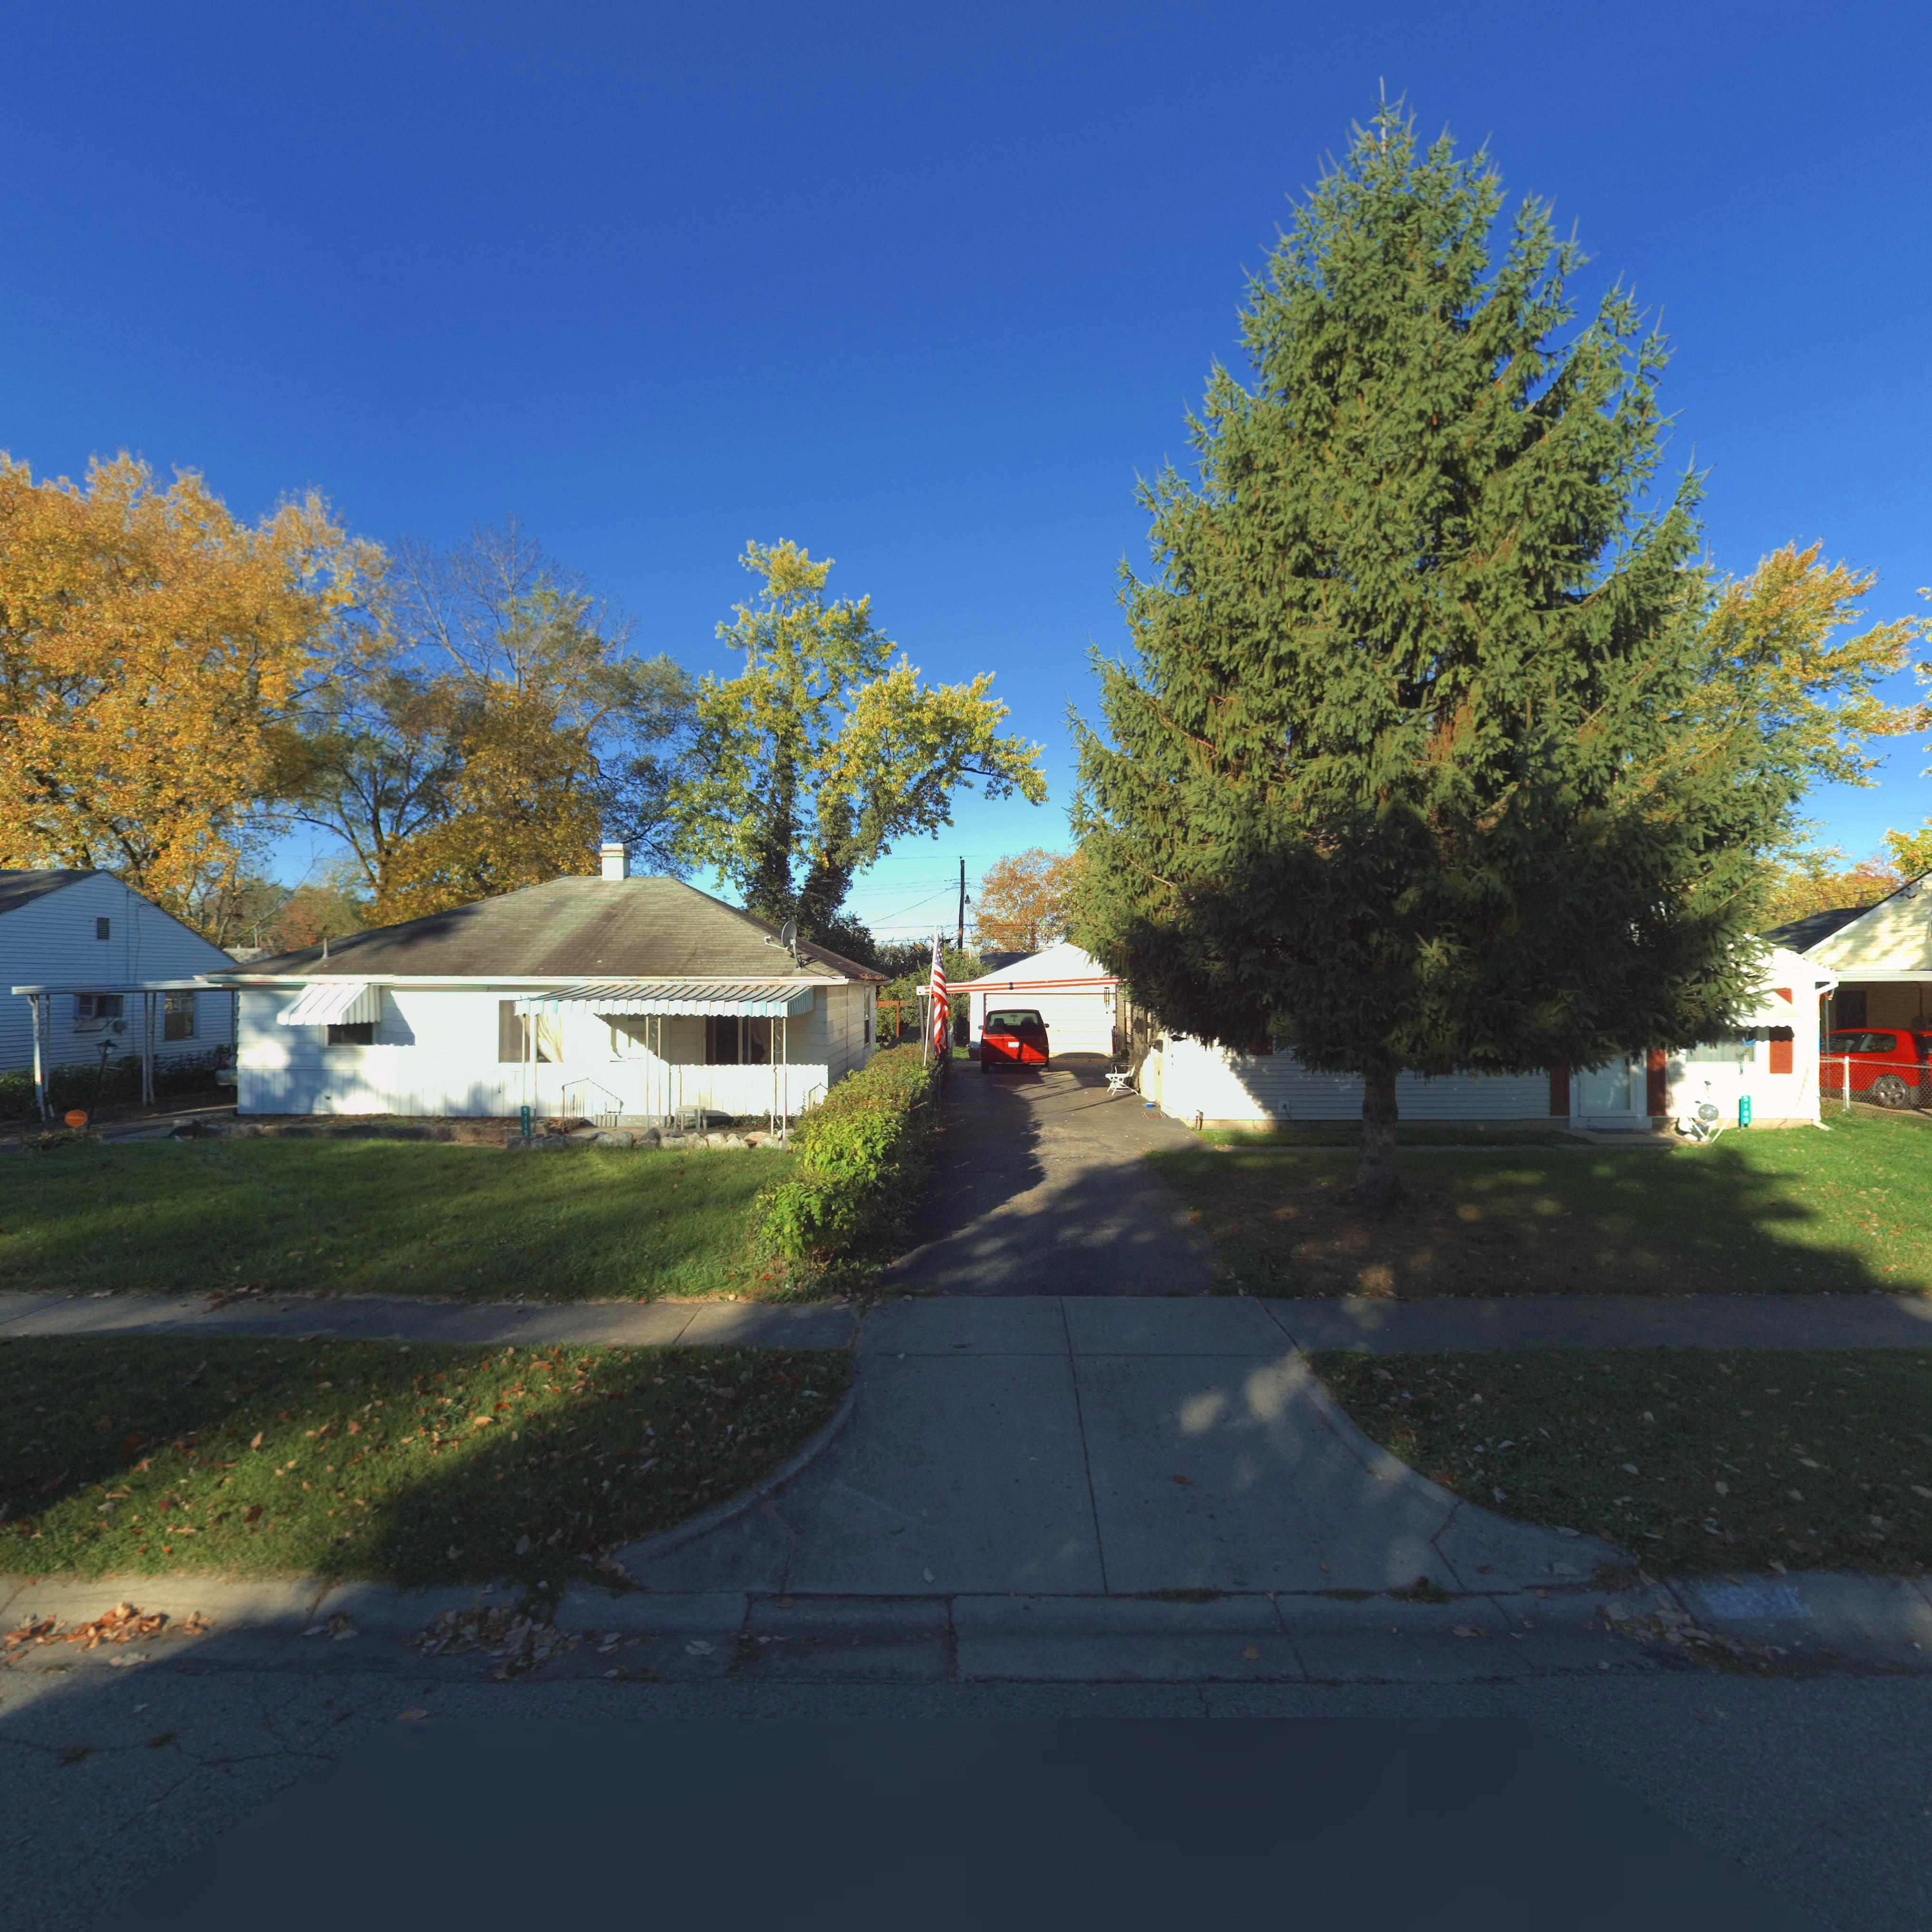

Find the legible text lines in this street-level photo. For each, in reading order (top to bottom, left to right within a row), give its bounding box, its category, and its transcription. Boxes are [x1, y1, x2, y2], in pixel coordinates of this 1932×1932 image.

[522, 1107, 529, 1137] StreetNumber: 5115
[1742, 1095, 1749, 1124] StreetNumber: 5109